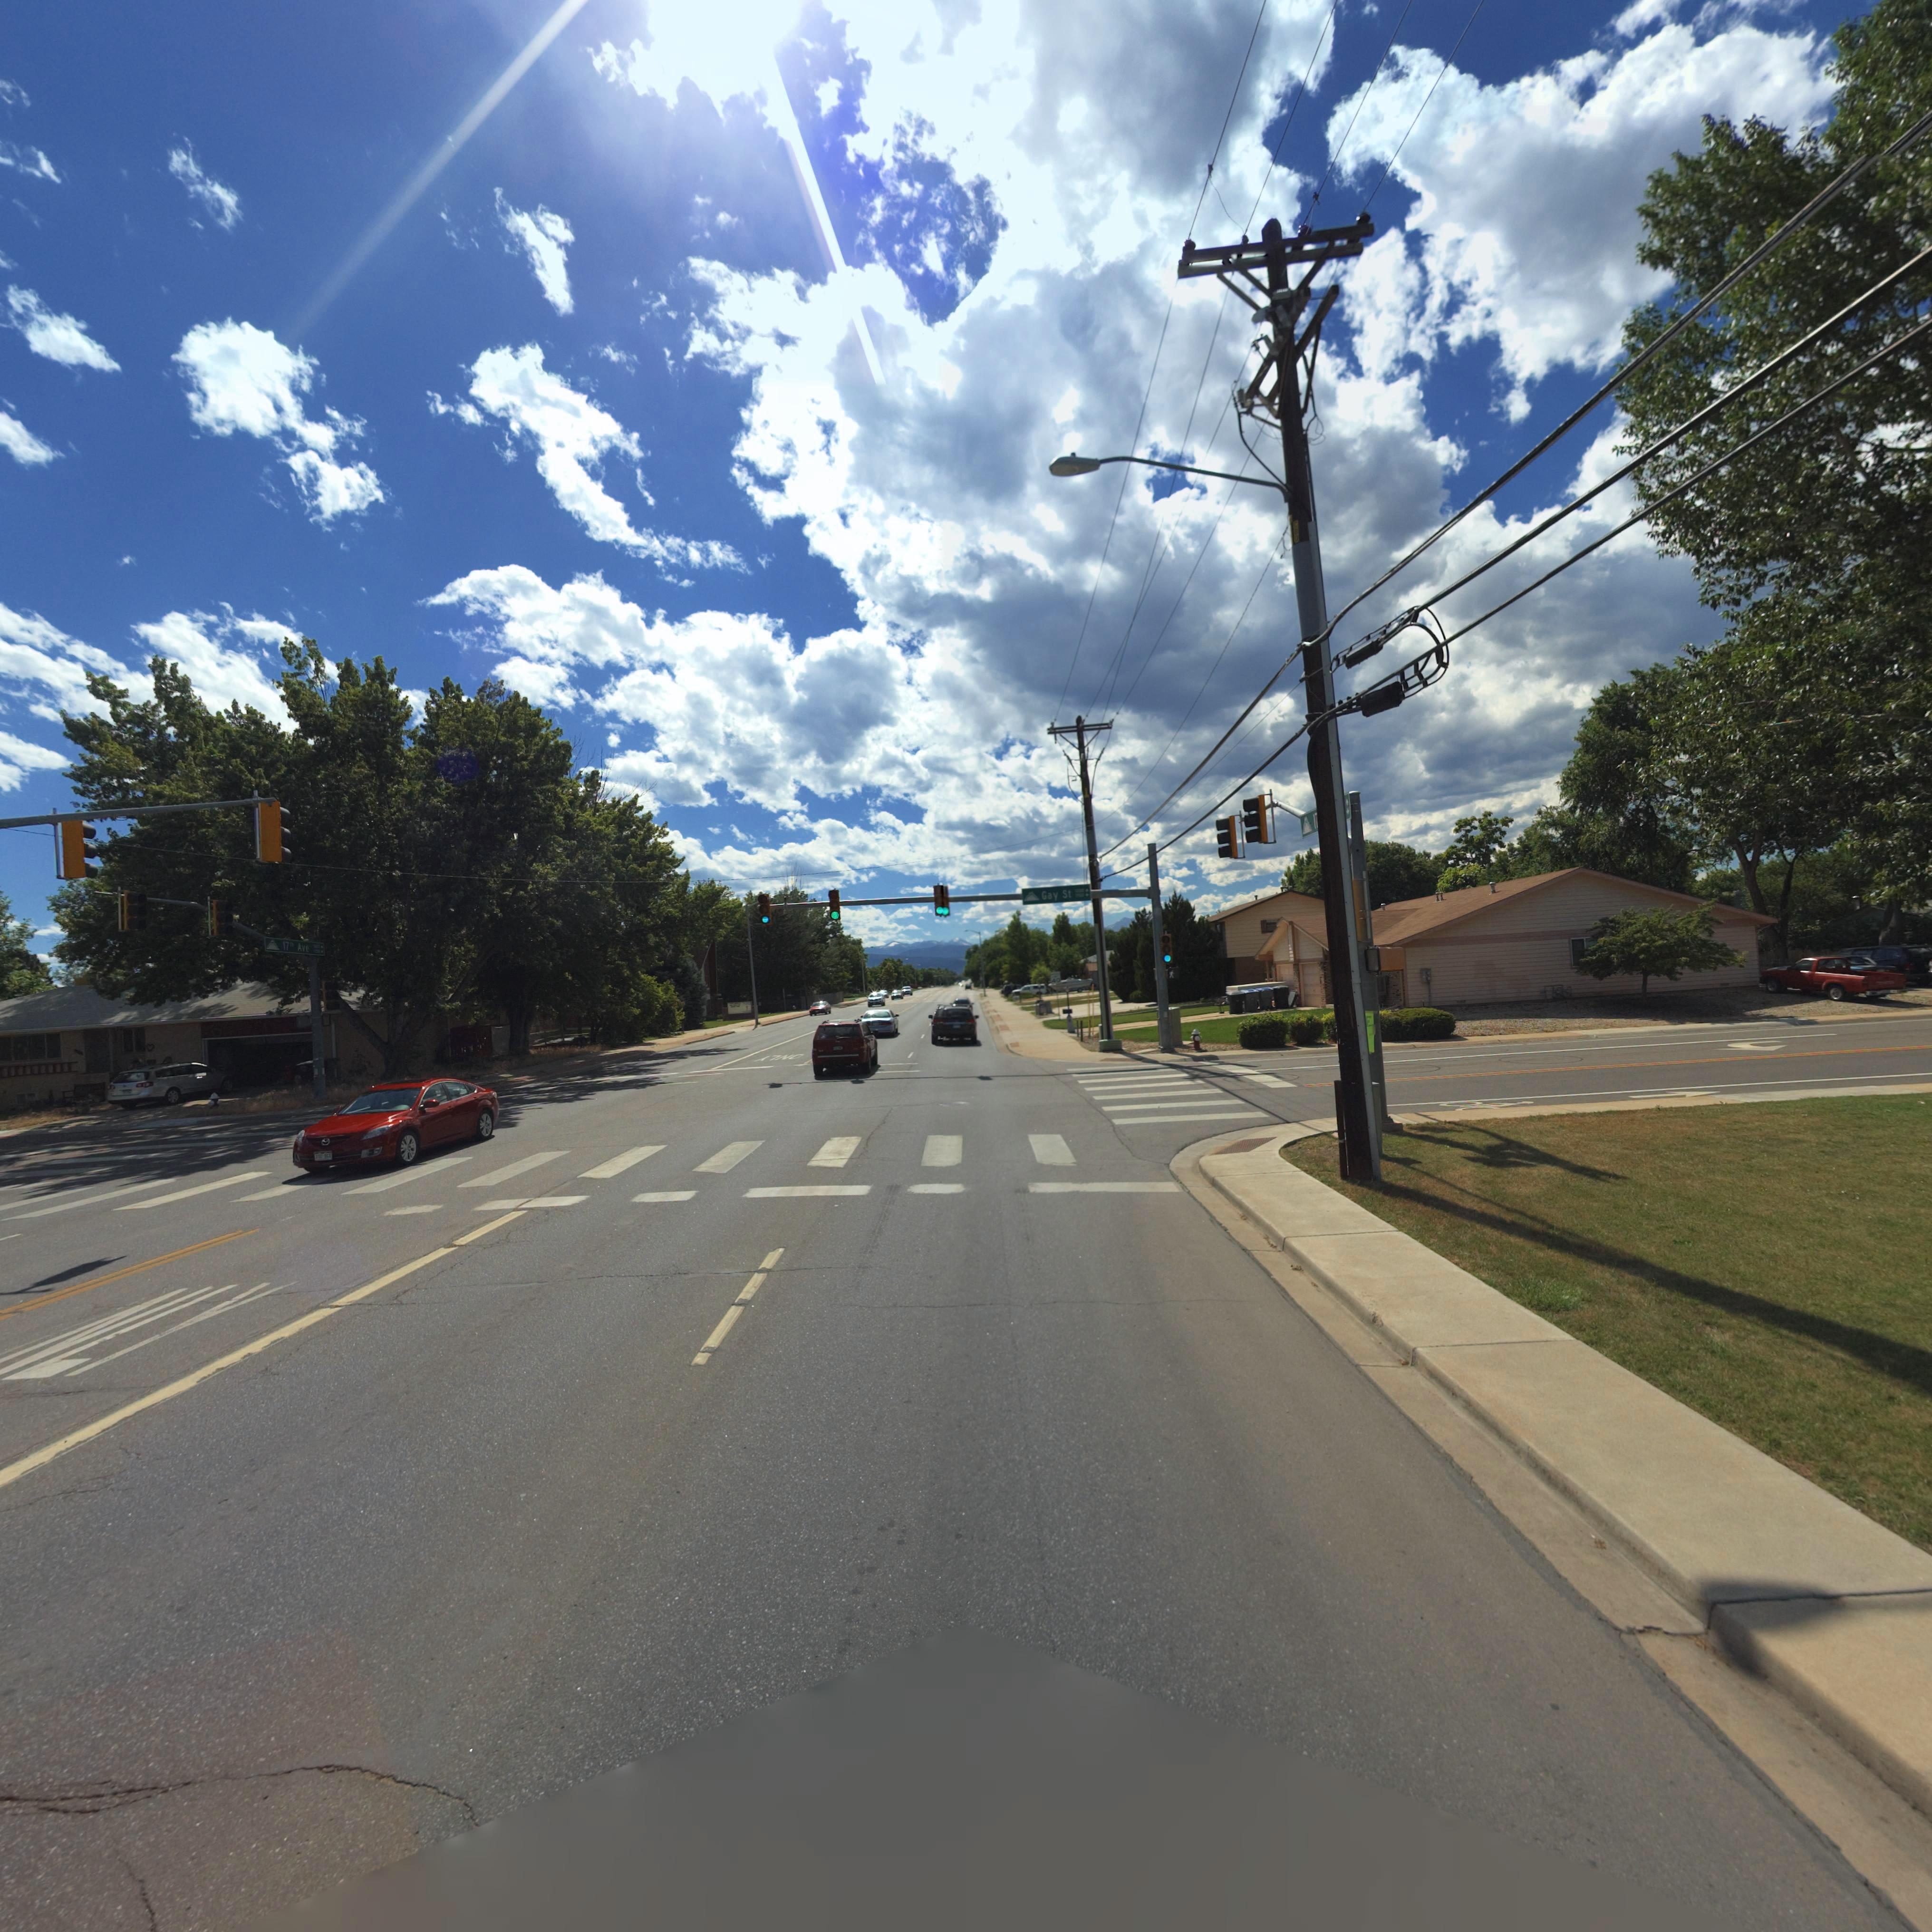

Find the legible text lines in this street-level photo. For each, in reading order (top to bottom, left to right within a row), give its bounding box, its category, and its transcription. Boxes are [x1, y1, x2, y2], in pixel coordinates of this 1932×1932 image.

[1312, 811, 1319, 829] StreetName: 17
[1074, 888, 1084, 893] StreetNumberRange: 1200
[1041, 889, 1072, 901] StreetName: Gay St
[1075, 893, 1089, 898] StreetNumberRange: 1700 ->
[282, 941, 309, 952] StreetName: 17th Ave
[313, 944, 320, 948] StreetNumberRange: 1600
[313, 949, 323, 953] StreetNumberRange: 1200 ->